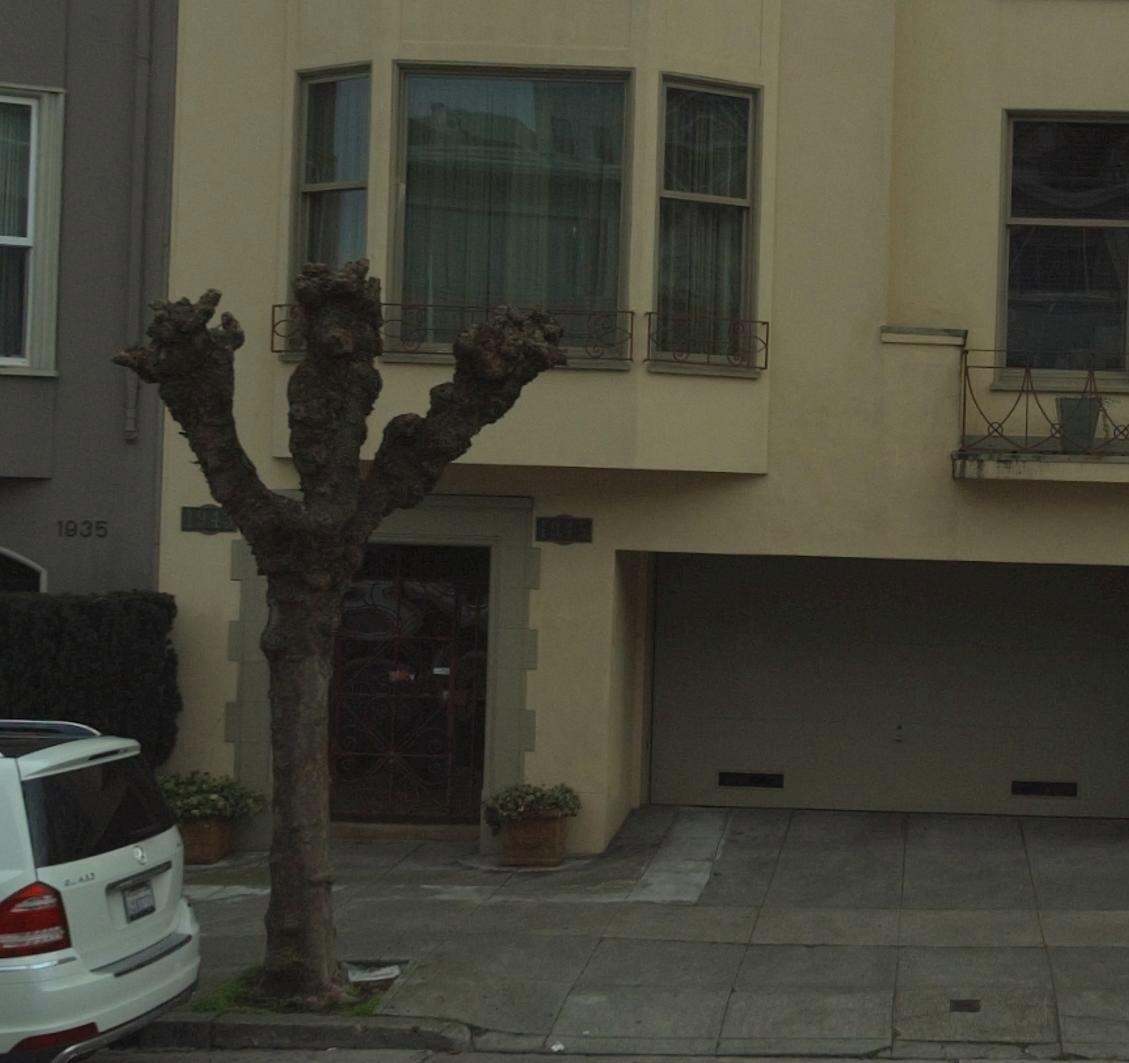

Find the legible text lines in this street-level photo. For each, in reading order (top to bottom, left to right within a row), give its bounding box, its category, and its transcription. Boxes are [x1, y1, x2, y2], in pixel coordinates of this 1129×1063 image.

[56, 519, 109, 539] StreetNumber: 1935
[185, 508, 235, 529] StreetNumber: 194*
[539, 519, 591, 540] StreetNumber: 1945